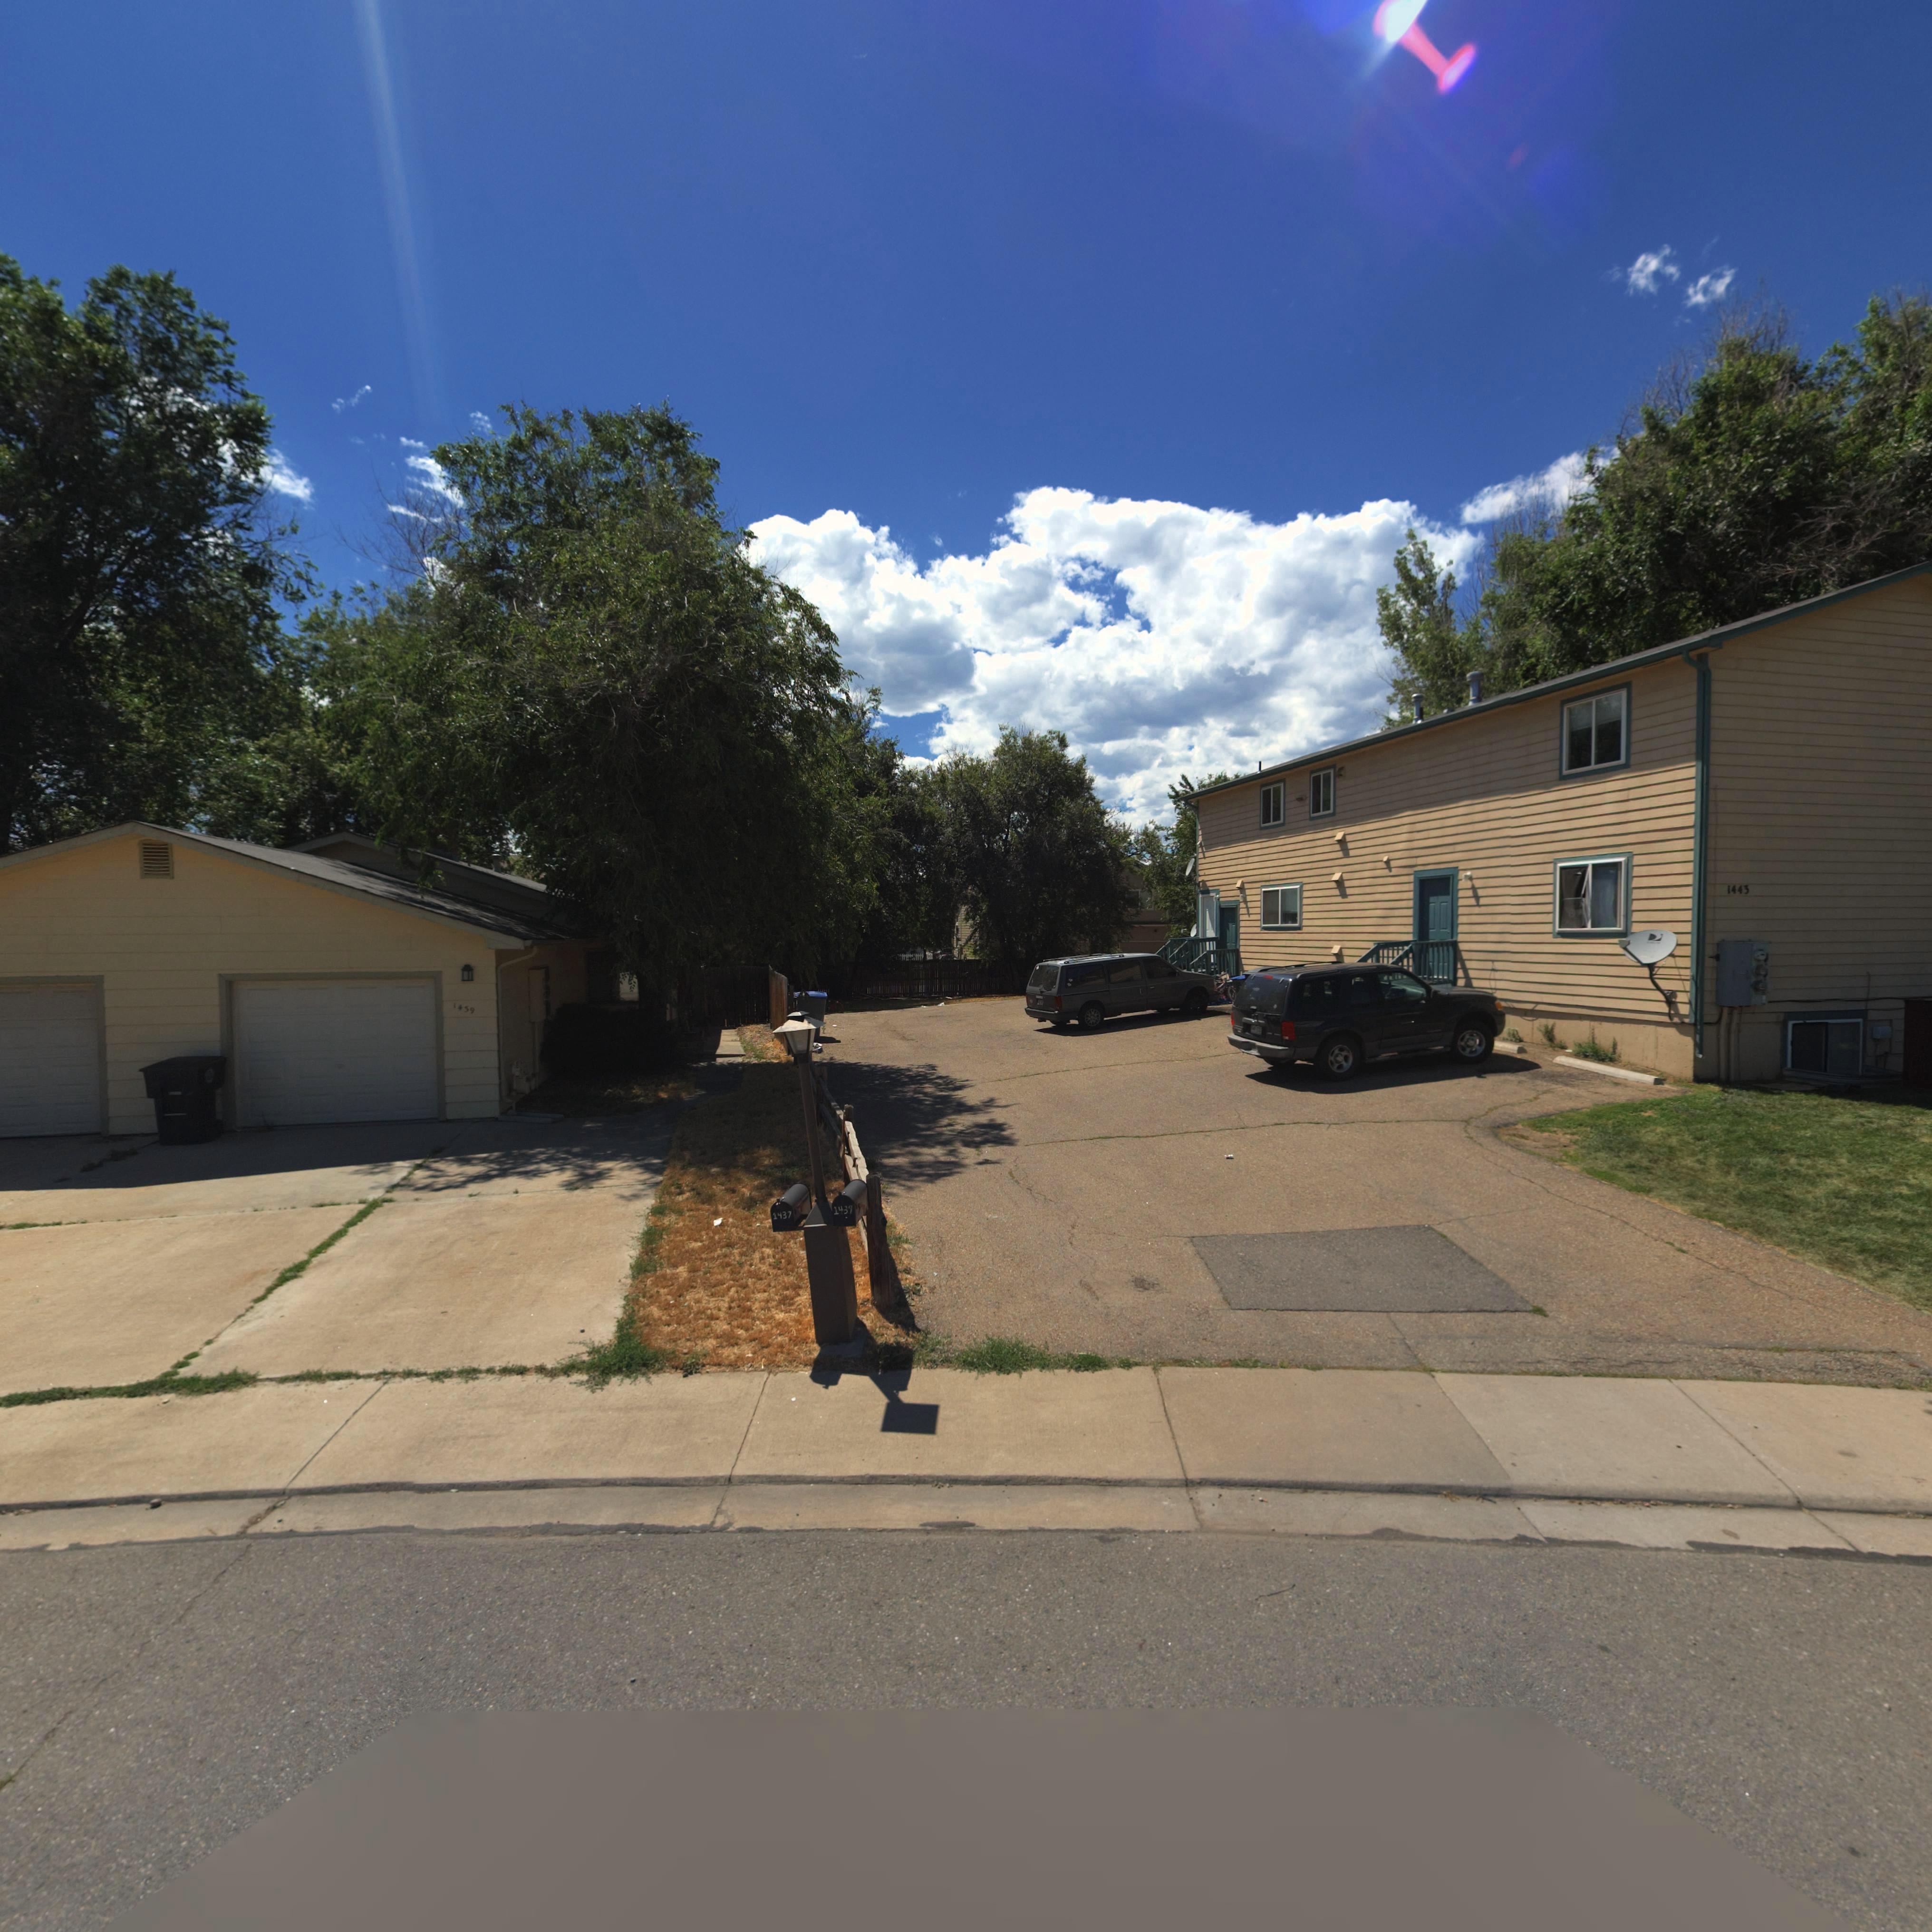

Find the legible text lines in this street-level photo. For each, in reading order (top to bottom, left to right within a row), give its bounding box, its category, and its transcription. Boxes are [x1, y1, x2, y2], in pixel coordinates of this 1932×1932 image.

[1727, 884, 1749, 895] StreetNumber: 1443
[452, 1001, 475, 1014] StreetNumber: 1459
[772, 1210, 792, 1220] StreetNumber: 1437
[833, 1205, 853, 1215] StreetNumber: 1439